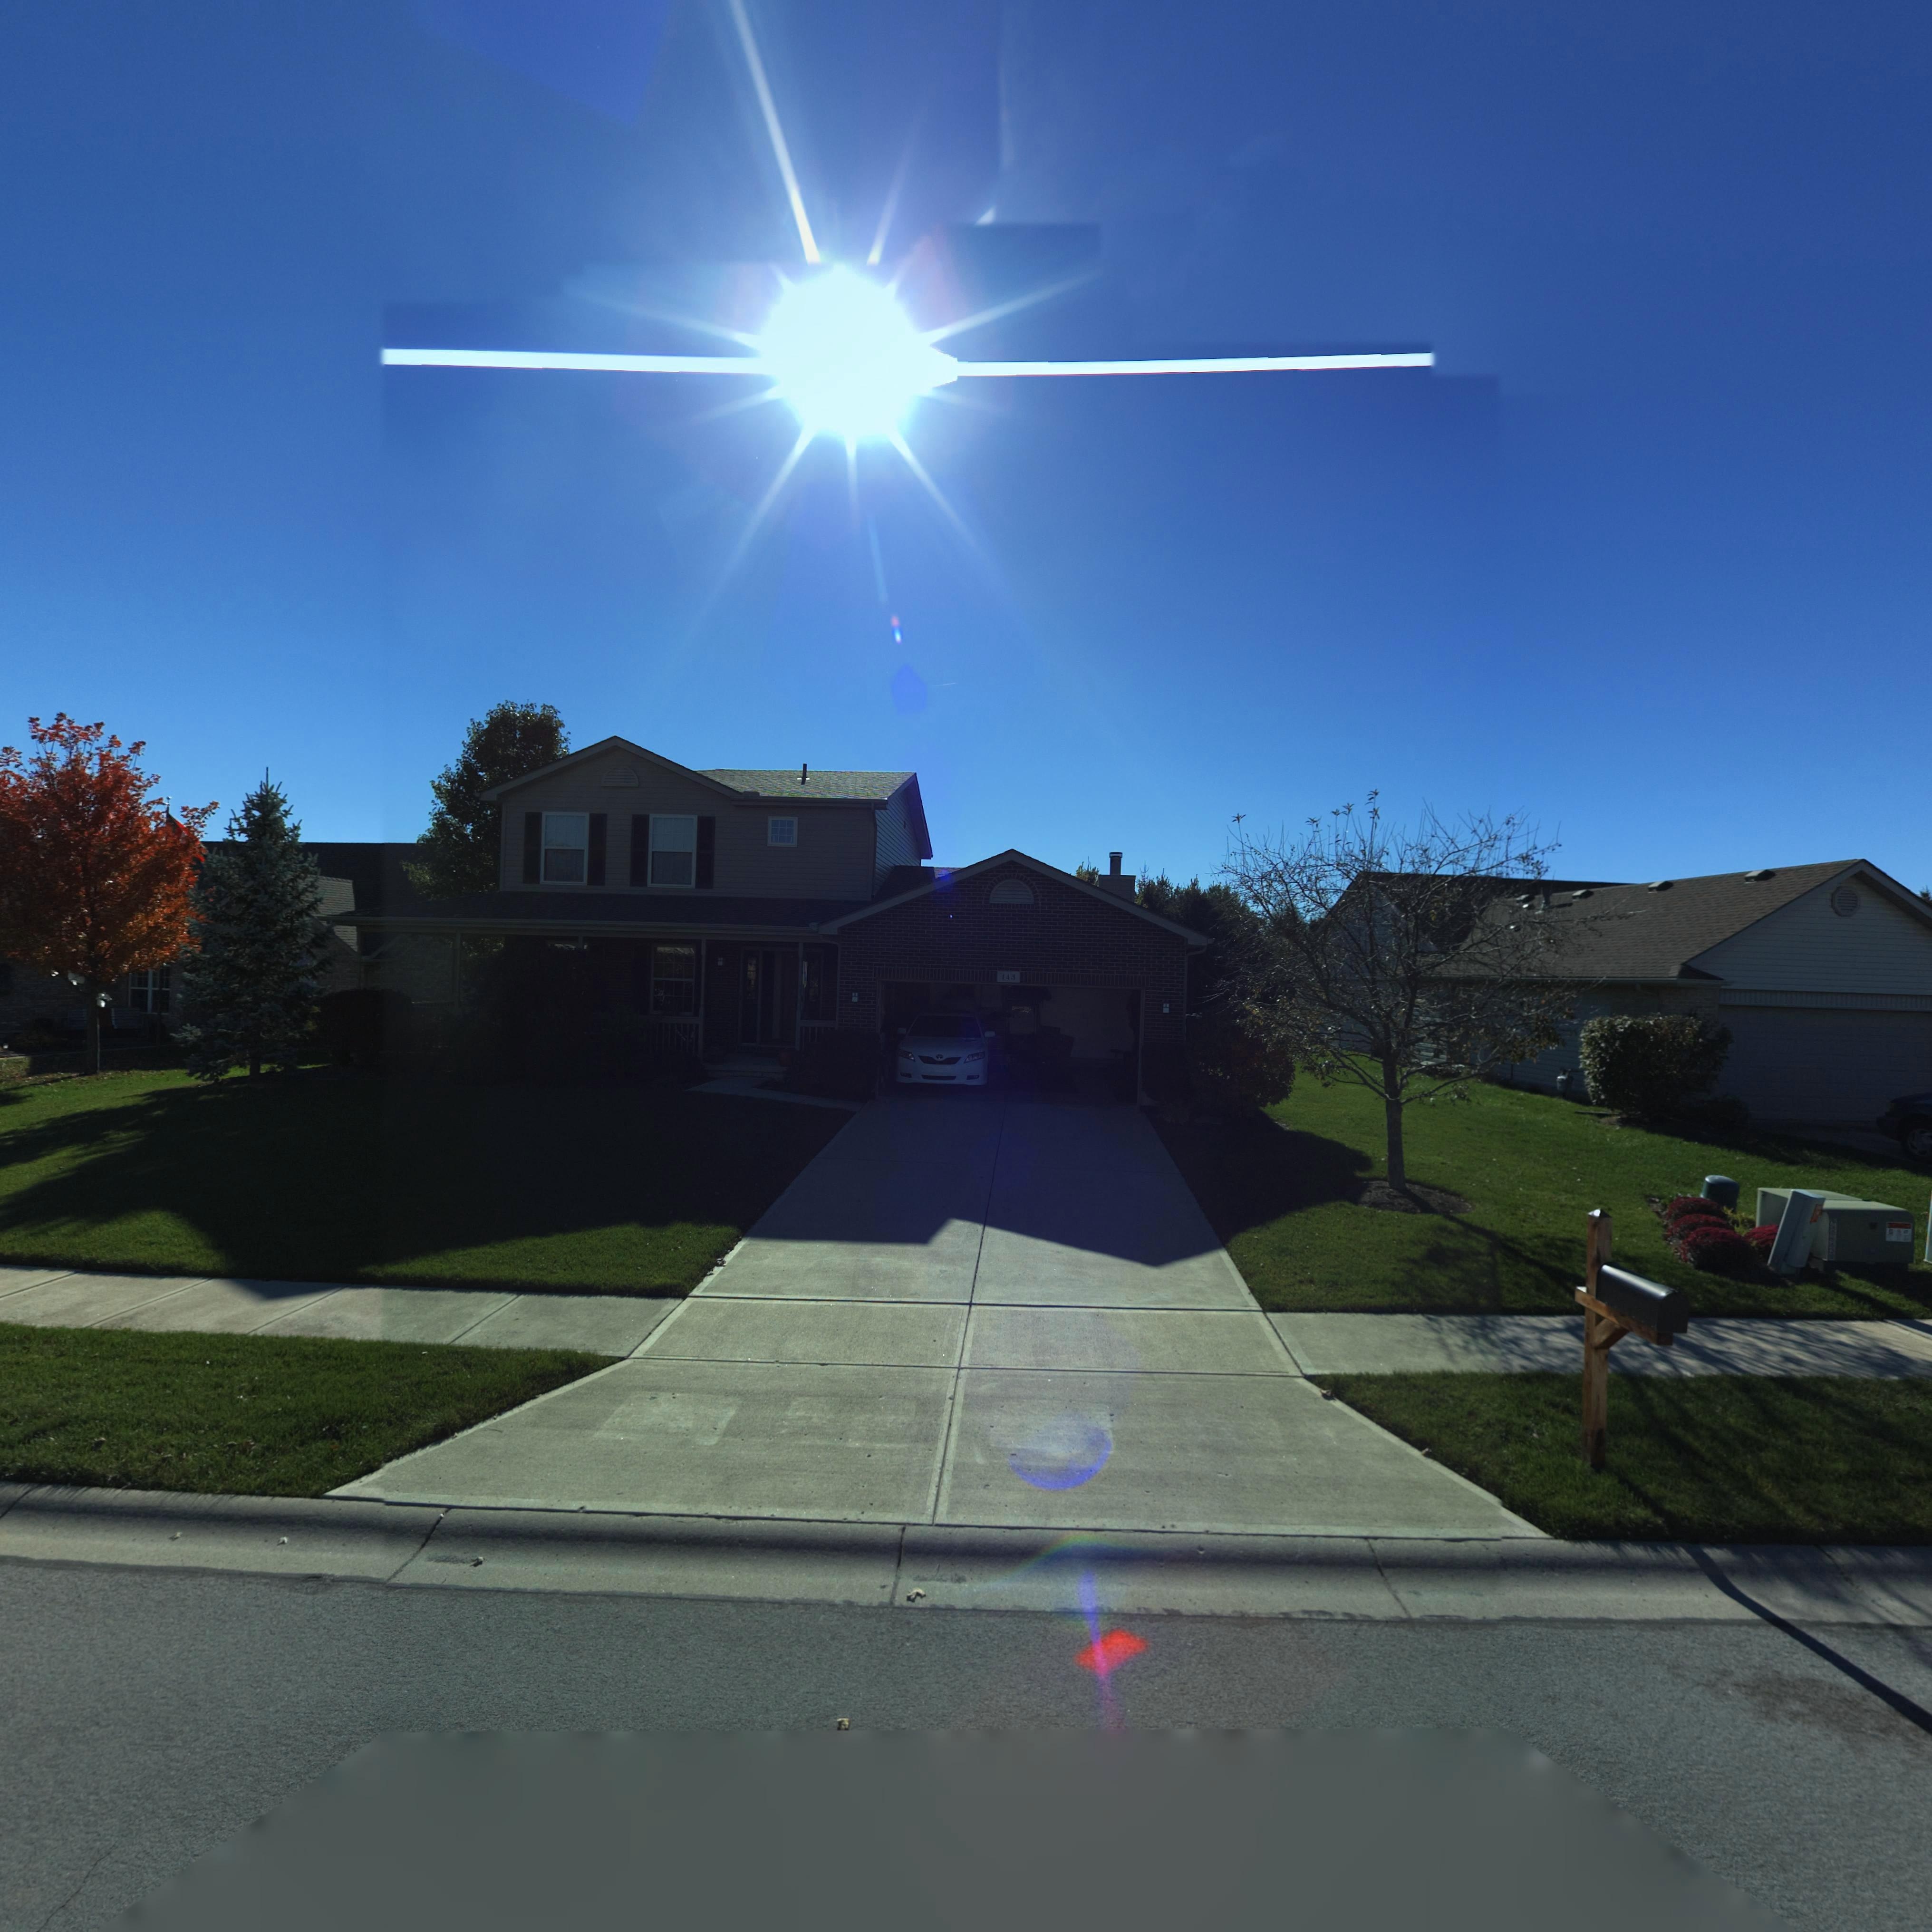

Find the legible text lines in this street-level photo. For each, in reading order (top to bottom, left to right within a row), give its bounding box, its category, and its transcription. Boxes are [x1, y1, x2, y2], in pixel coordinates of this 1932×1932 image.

[1001, 973, 1015, 981] StreetNumber: 143